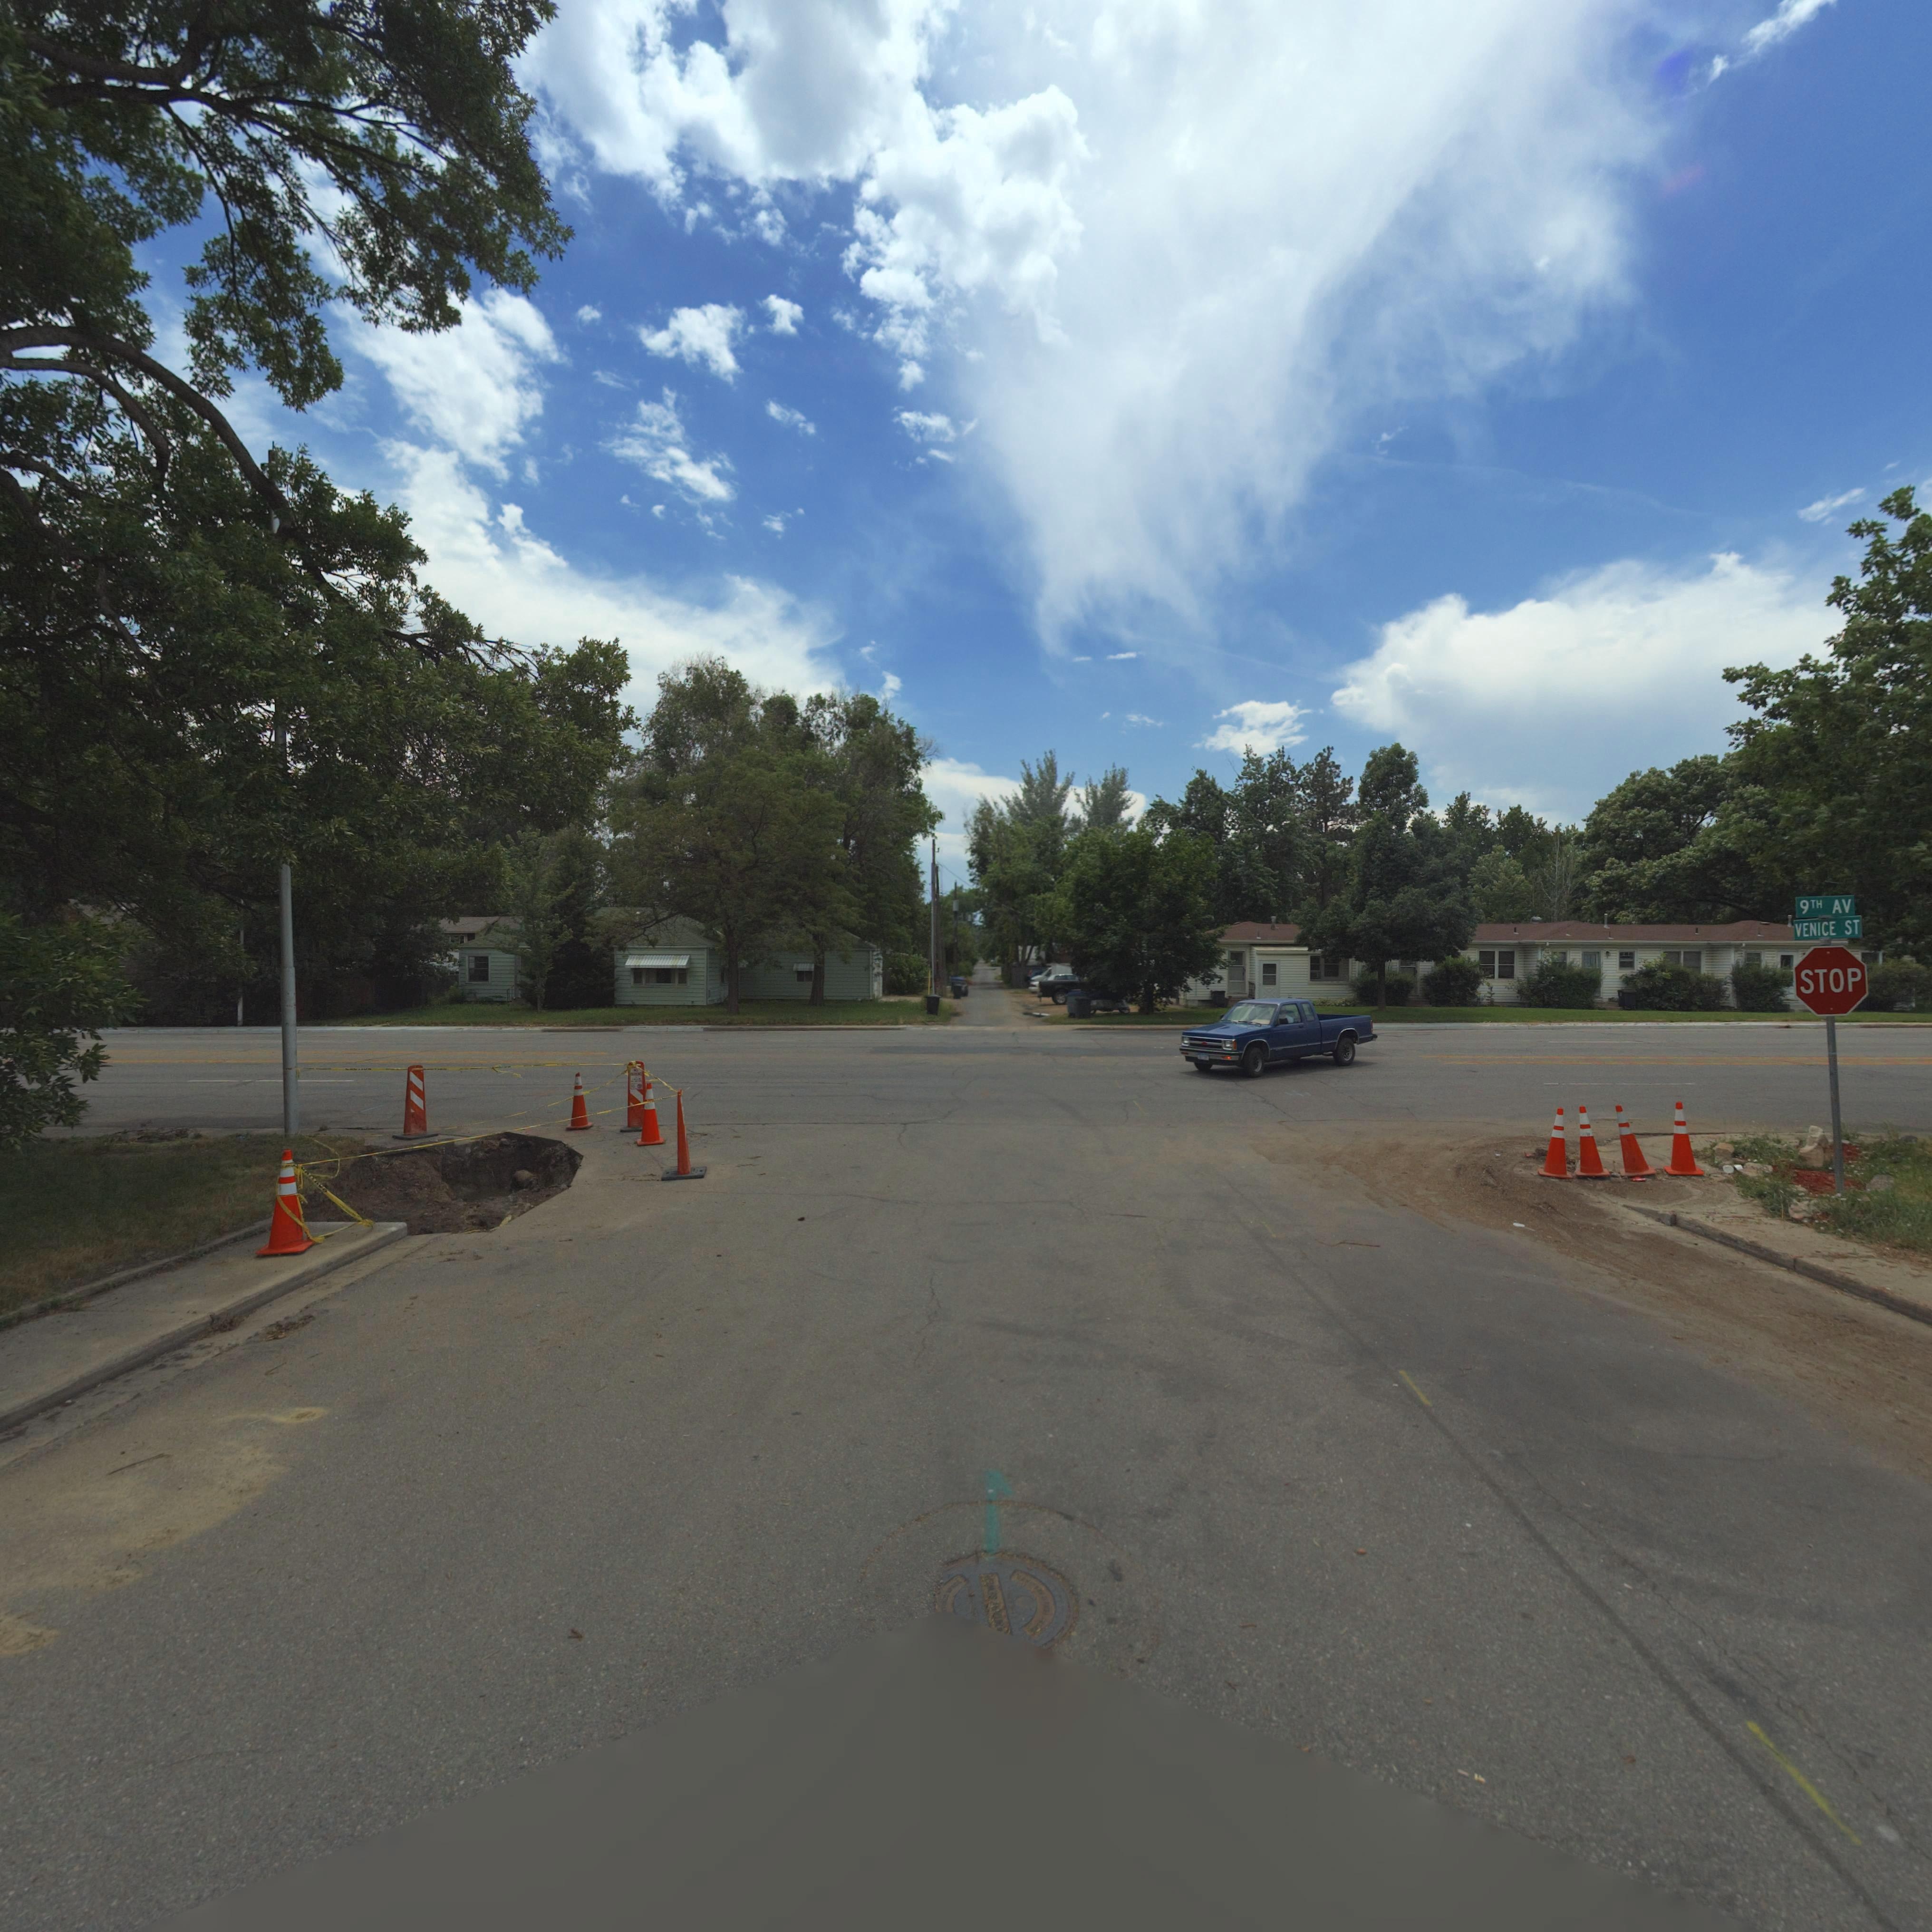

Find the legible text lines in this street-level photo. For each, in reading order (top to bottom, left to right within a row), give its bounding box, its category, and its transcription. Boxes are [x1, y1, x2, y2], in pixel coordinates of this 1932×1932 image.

[1800, 899, 1851, 913] BusinessName: 9TH AV
[1794, 918, 1861, 938] StreetName: VENICE ST